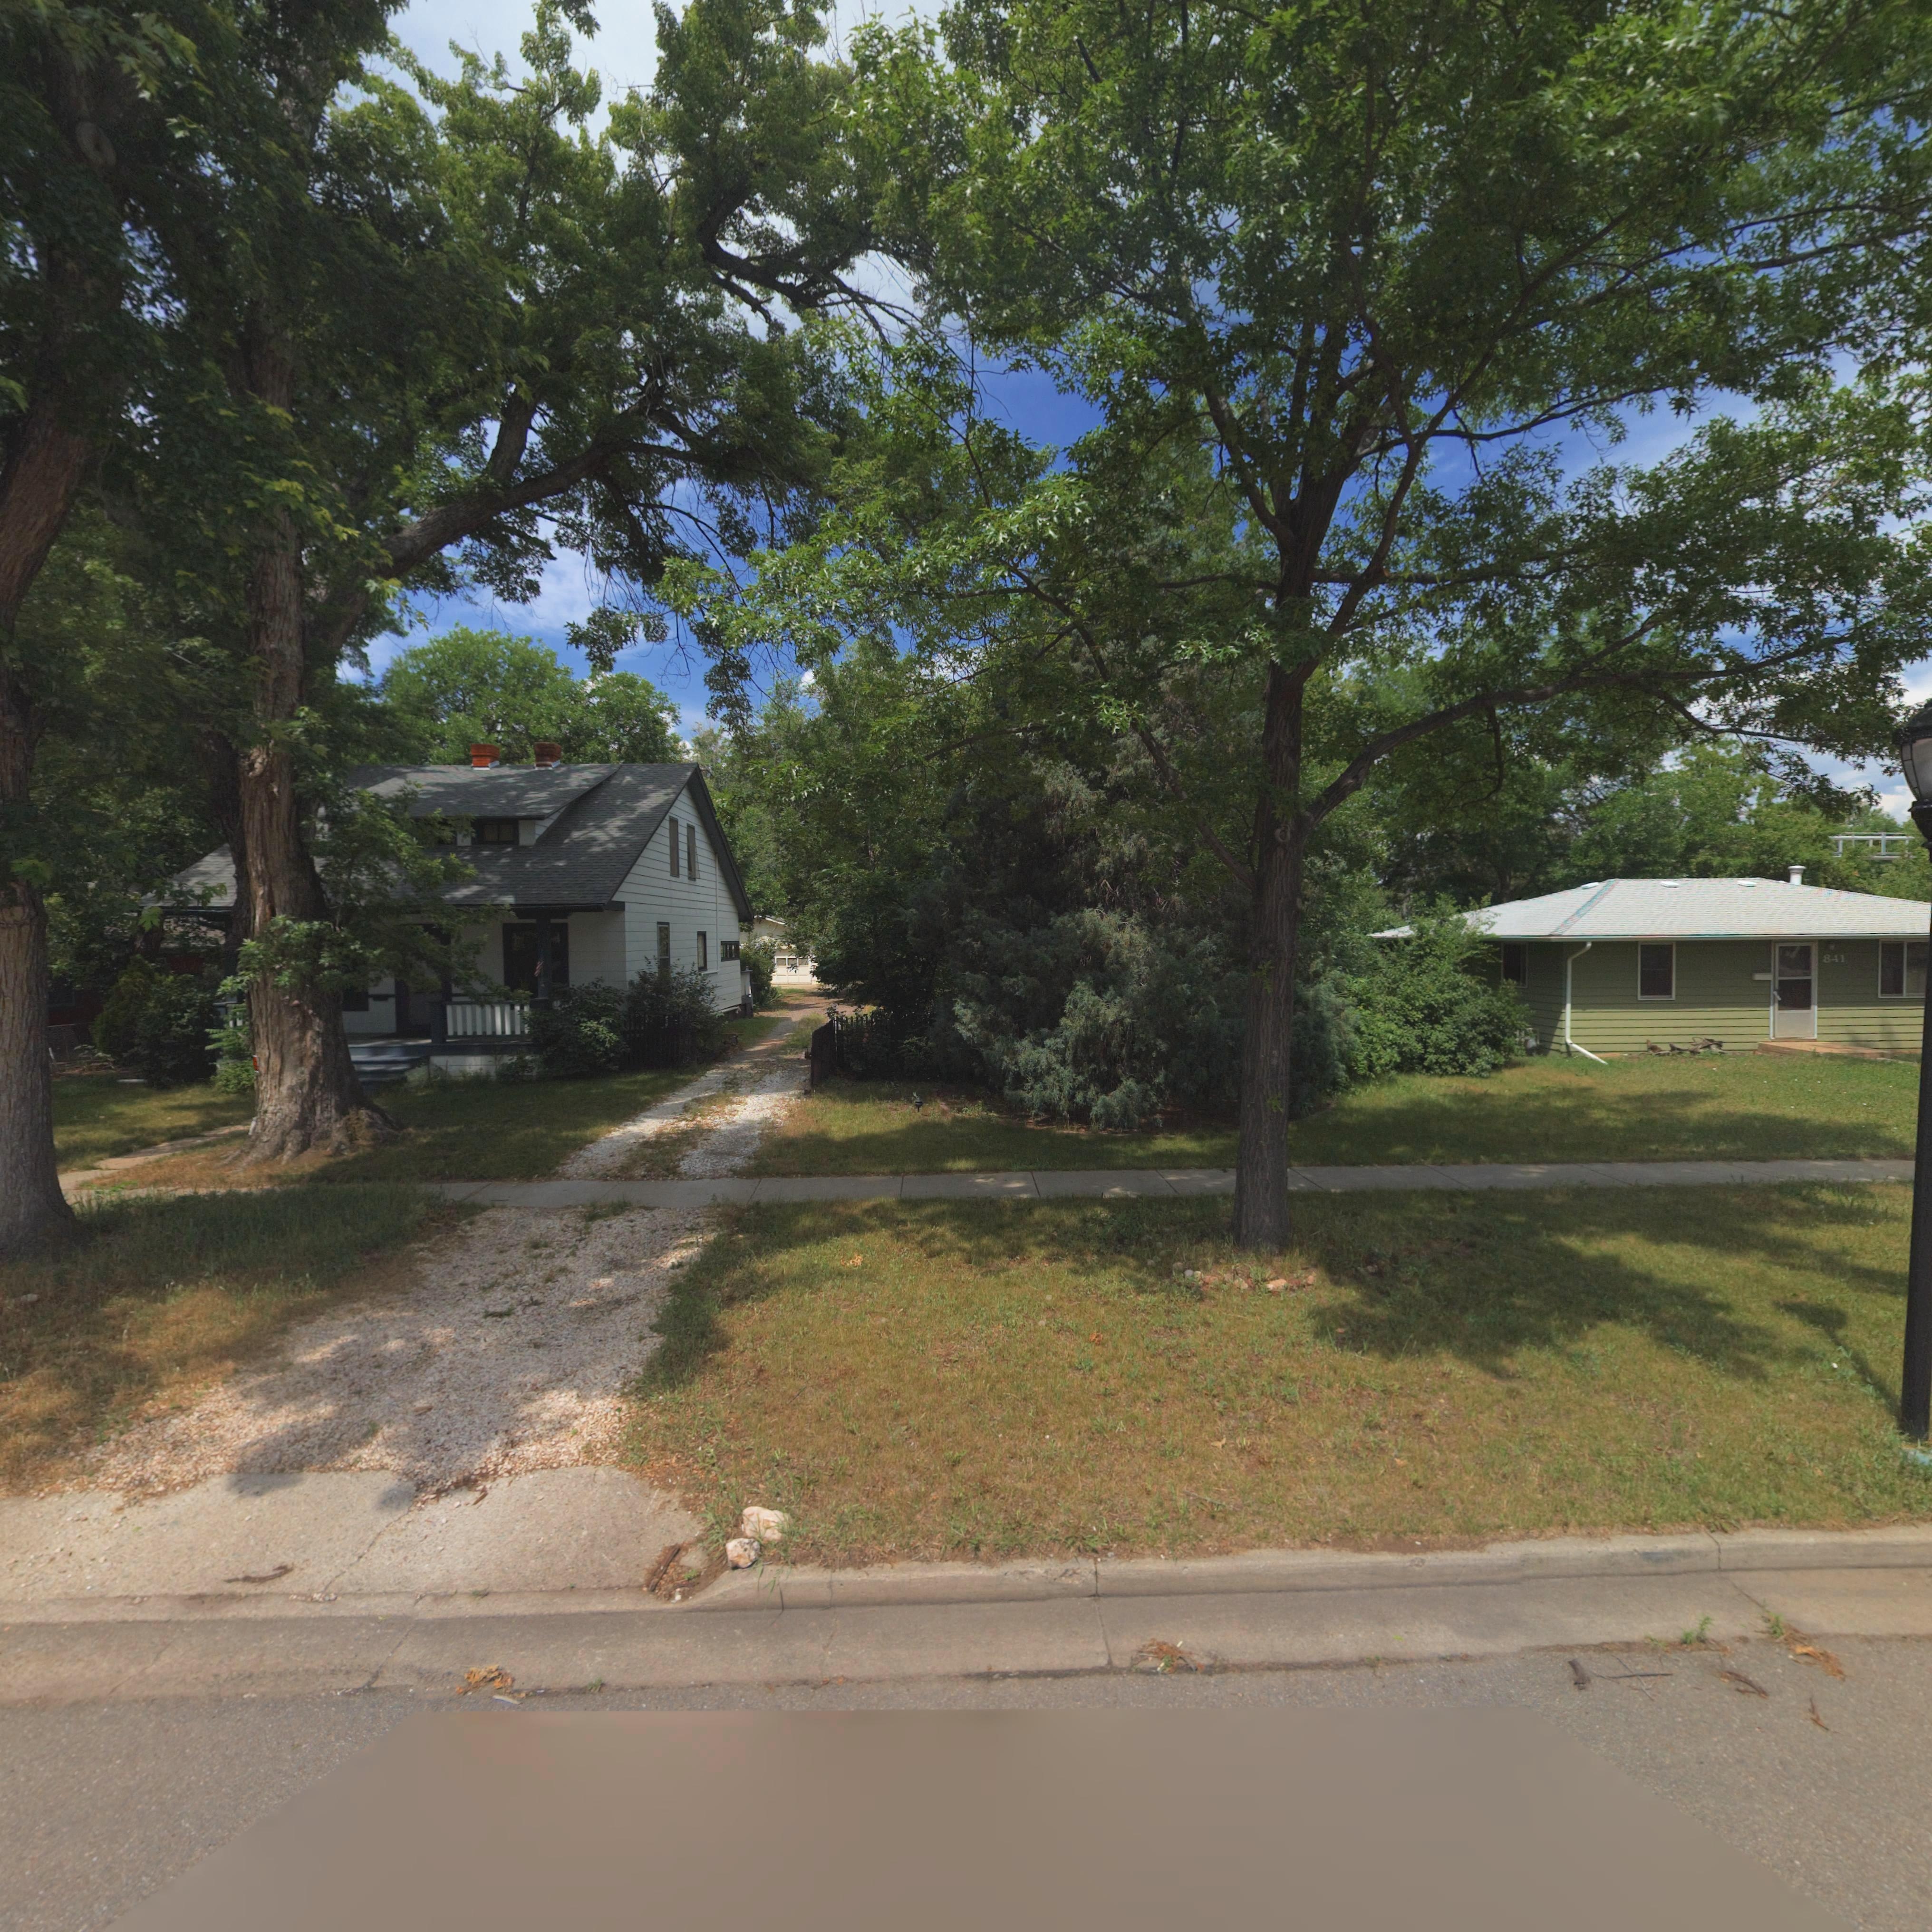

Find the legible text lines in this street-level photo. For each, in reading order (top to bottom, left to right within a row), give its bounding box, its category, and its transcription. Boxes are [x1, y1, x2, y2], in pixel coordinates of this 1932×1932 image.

[1822, 954, 1846, 964] StreetNumber: 841